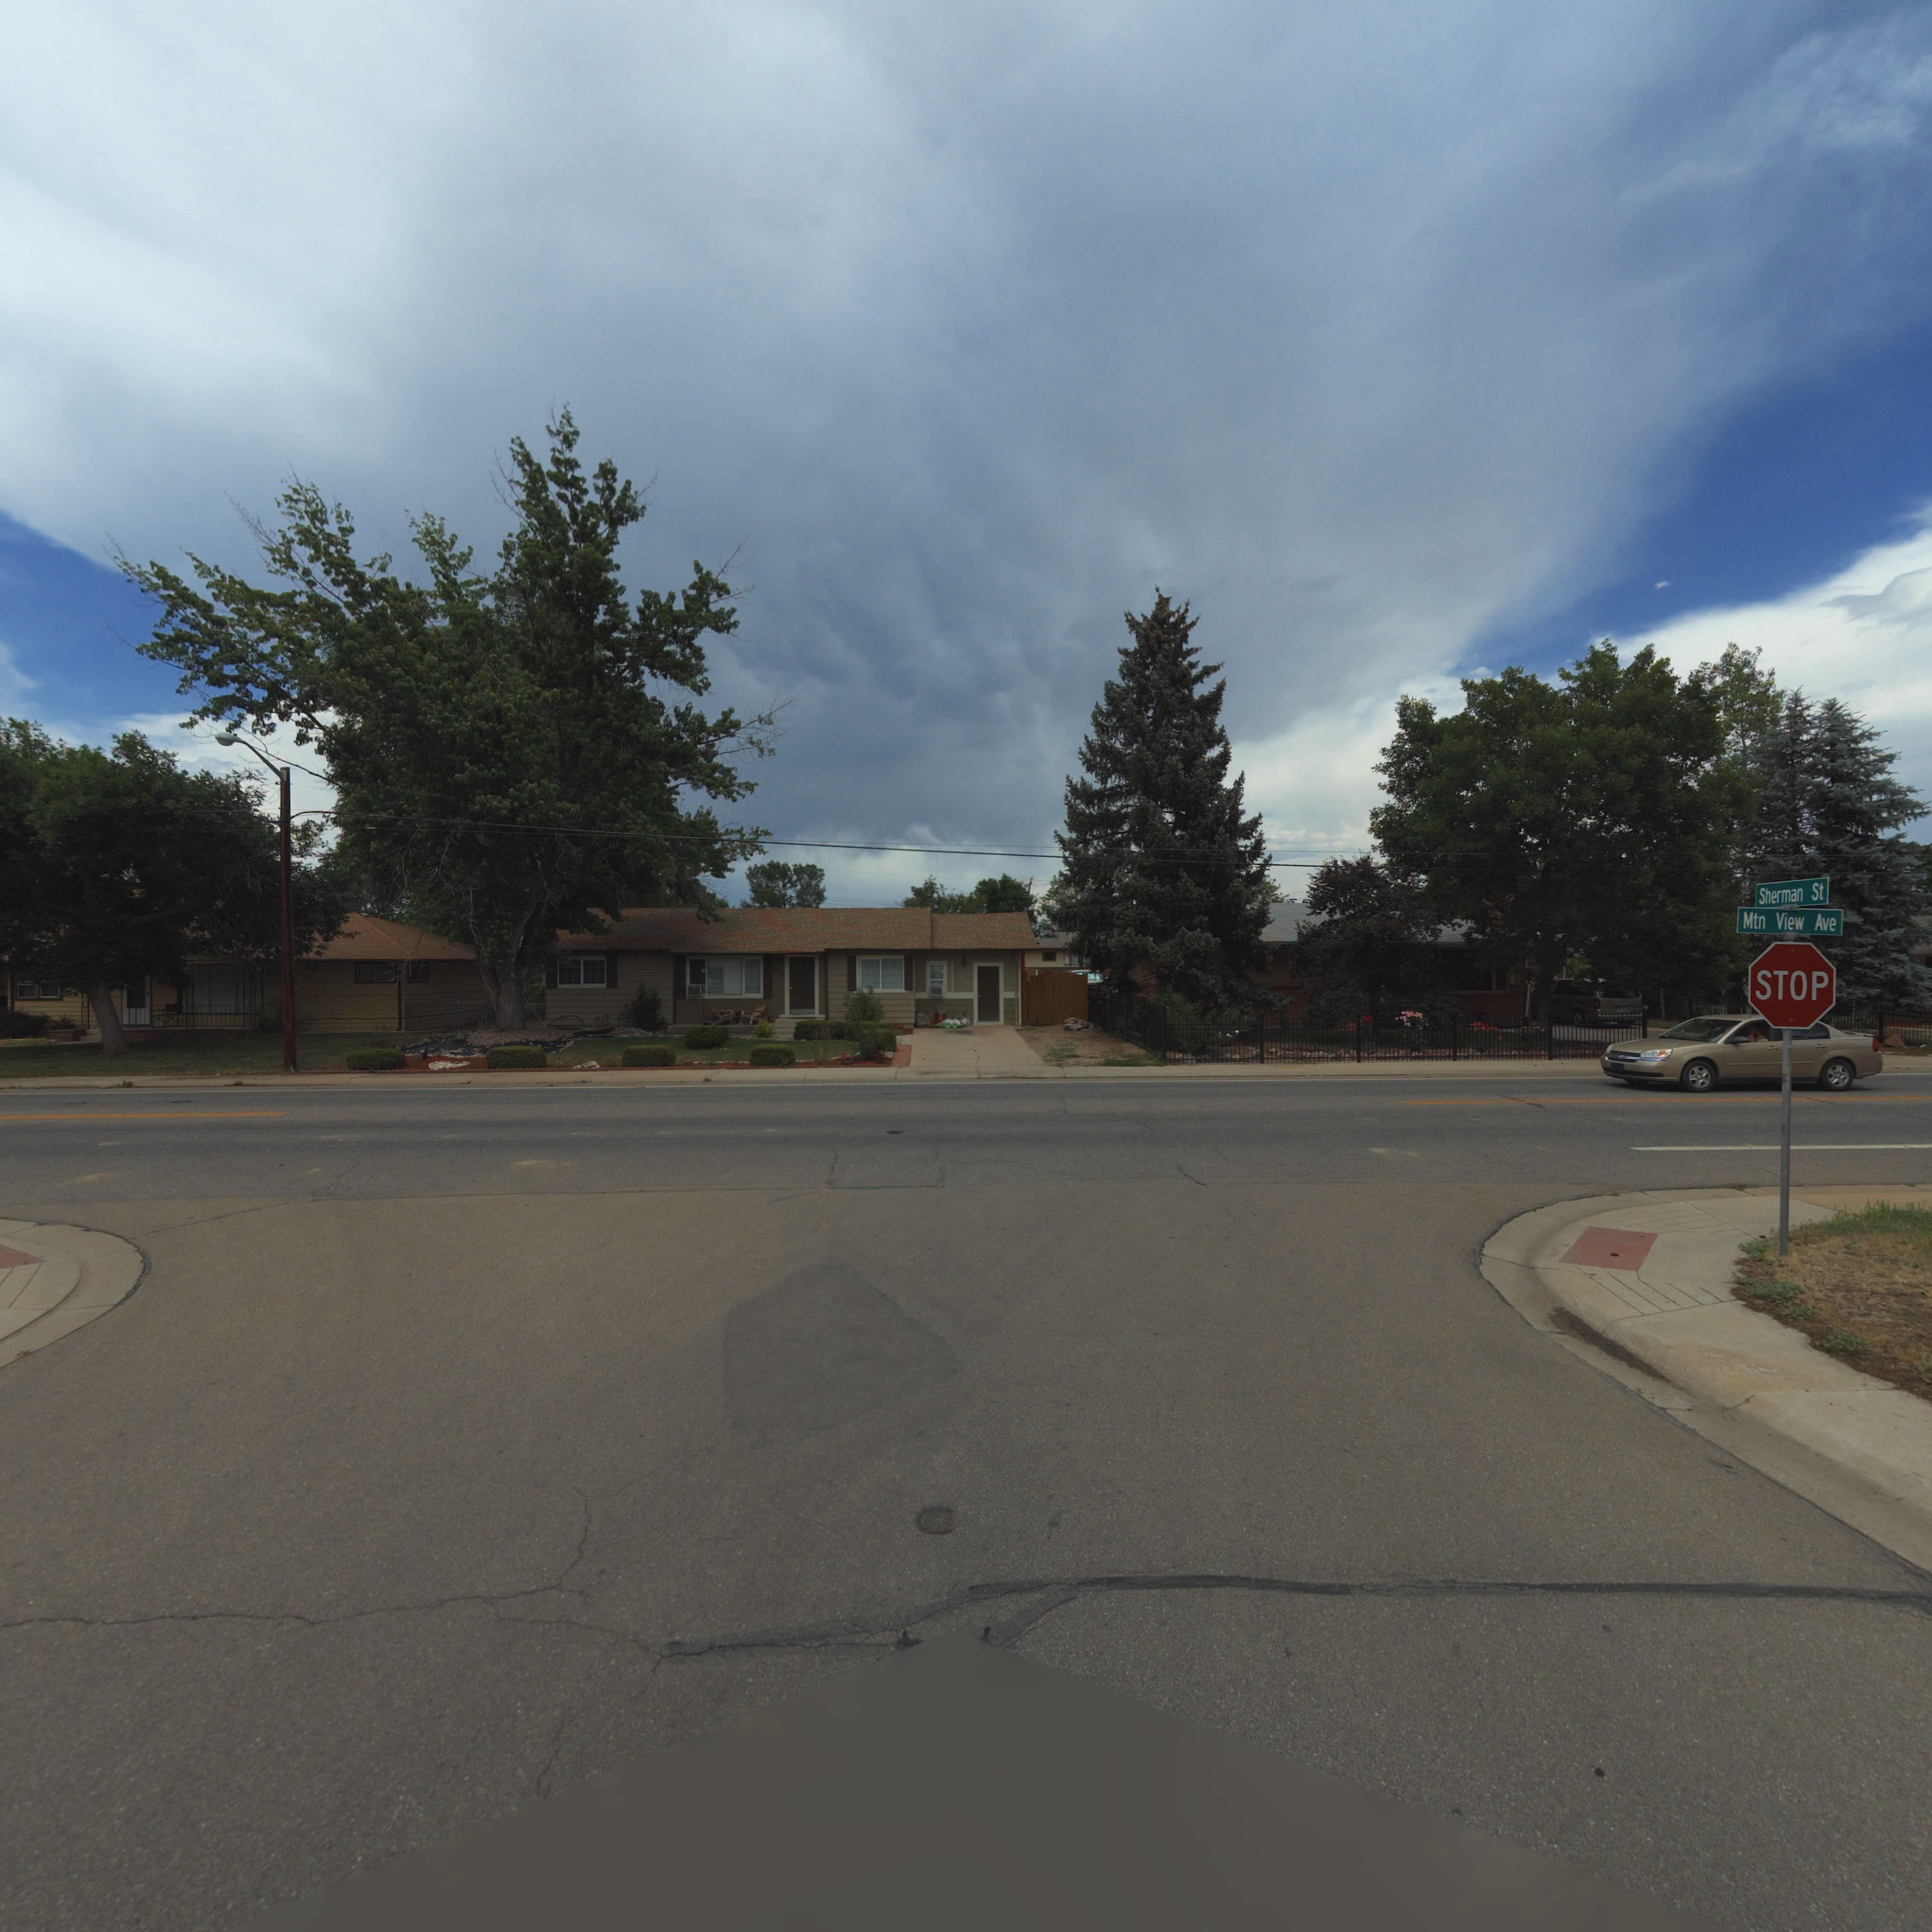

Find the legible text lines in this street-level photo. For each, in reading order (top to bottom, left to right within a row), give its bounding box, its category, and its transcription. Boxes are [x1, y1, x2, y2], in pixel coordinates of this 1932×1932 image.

[1758, 882, 1824, 905] StreetName: Sherman St
[1743, 911, 1836, 931] StreetName: Mtn View Ave
[773, 965, 784, 977] StreetNumber: 1*20